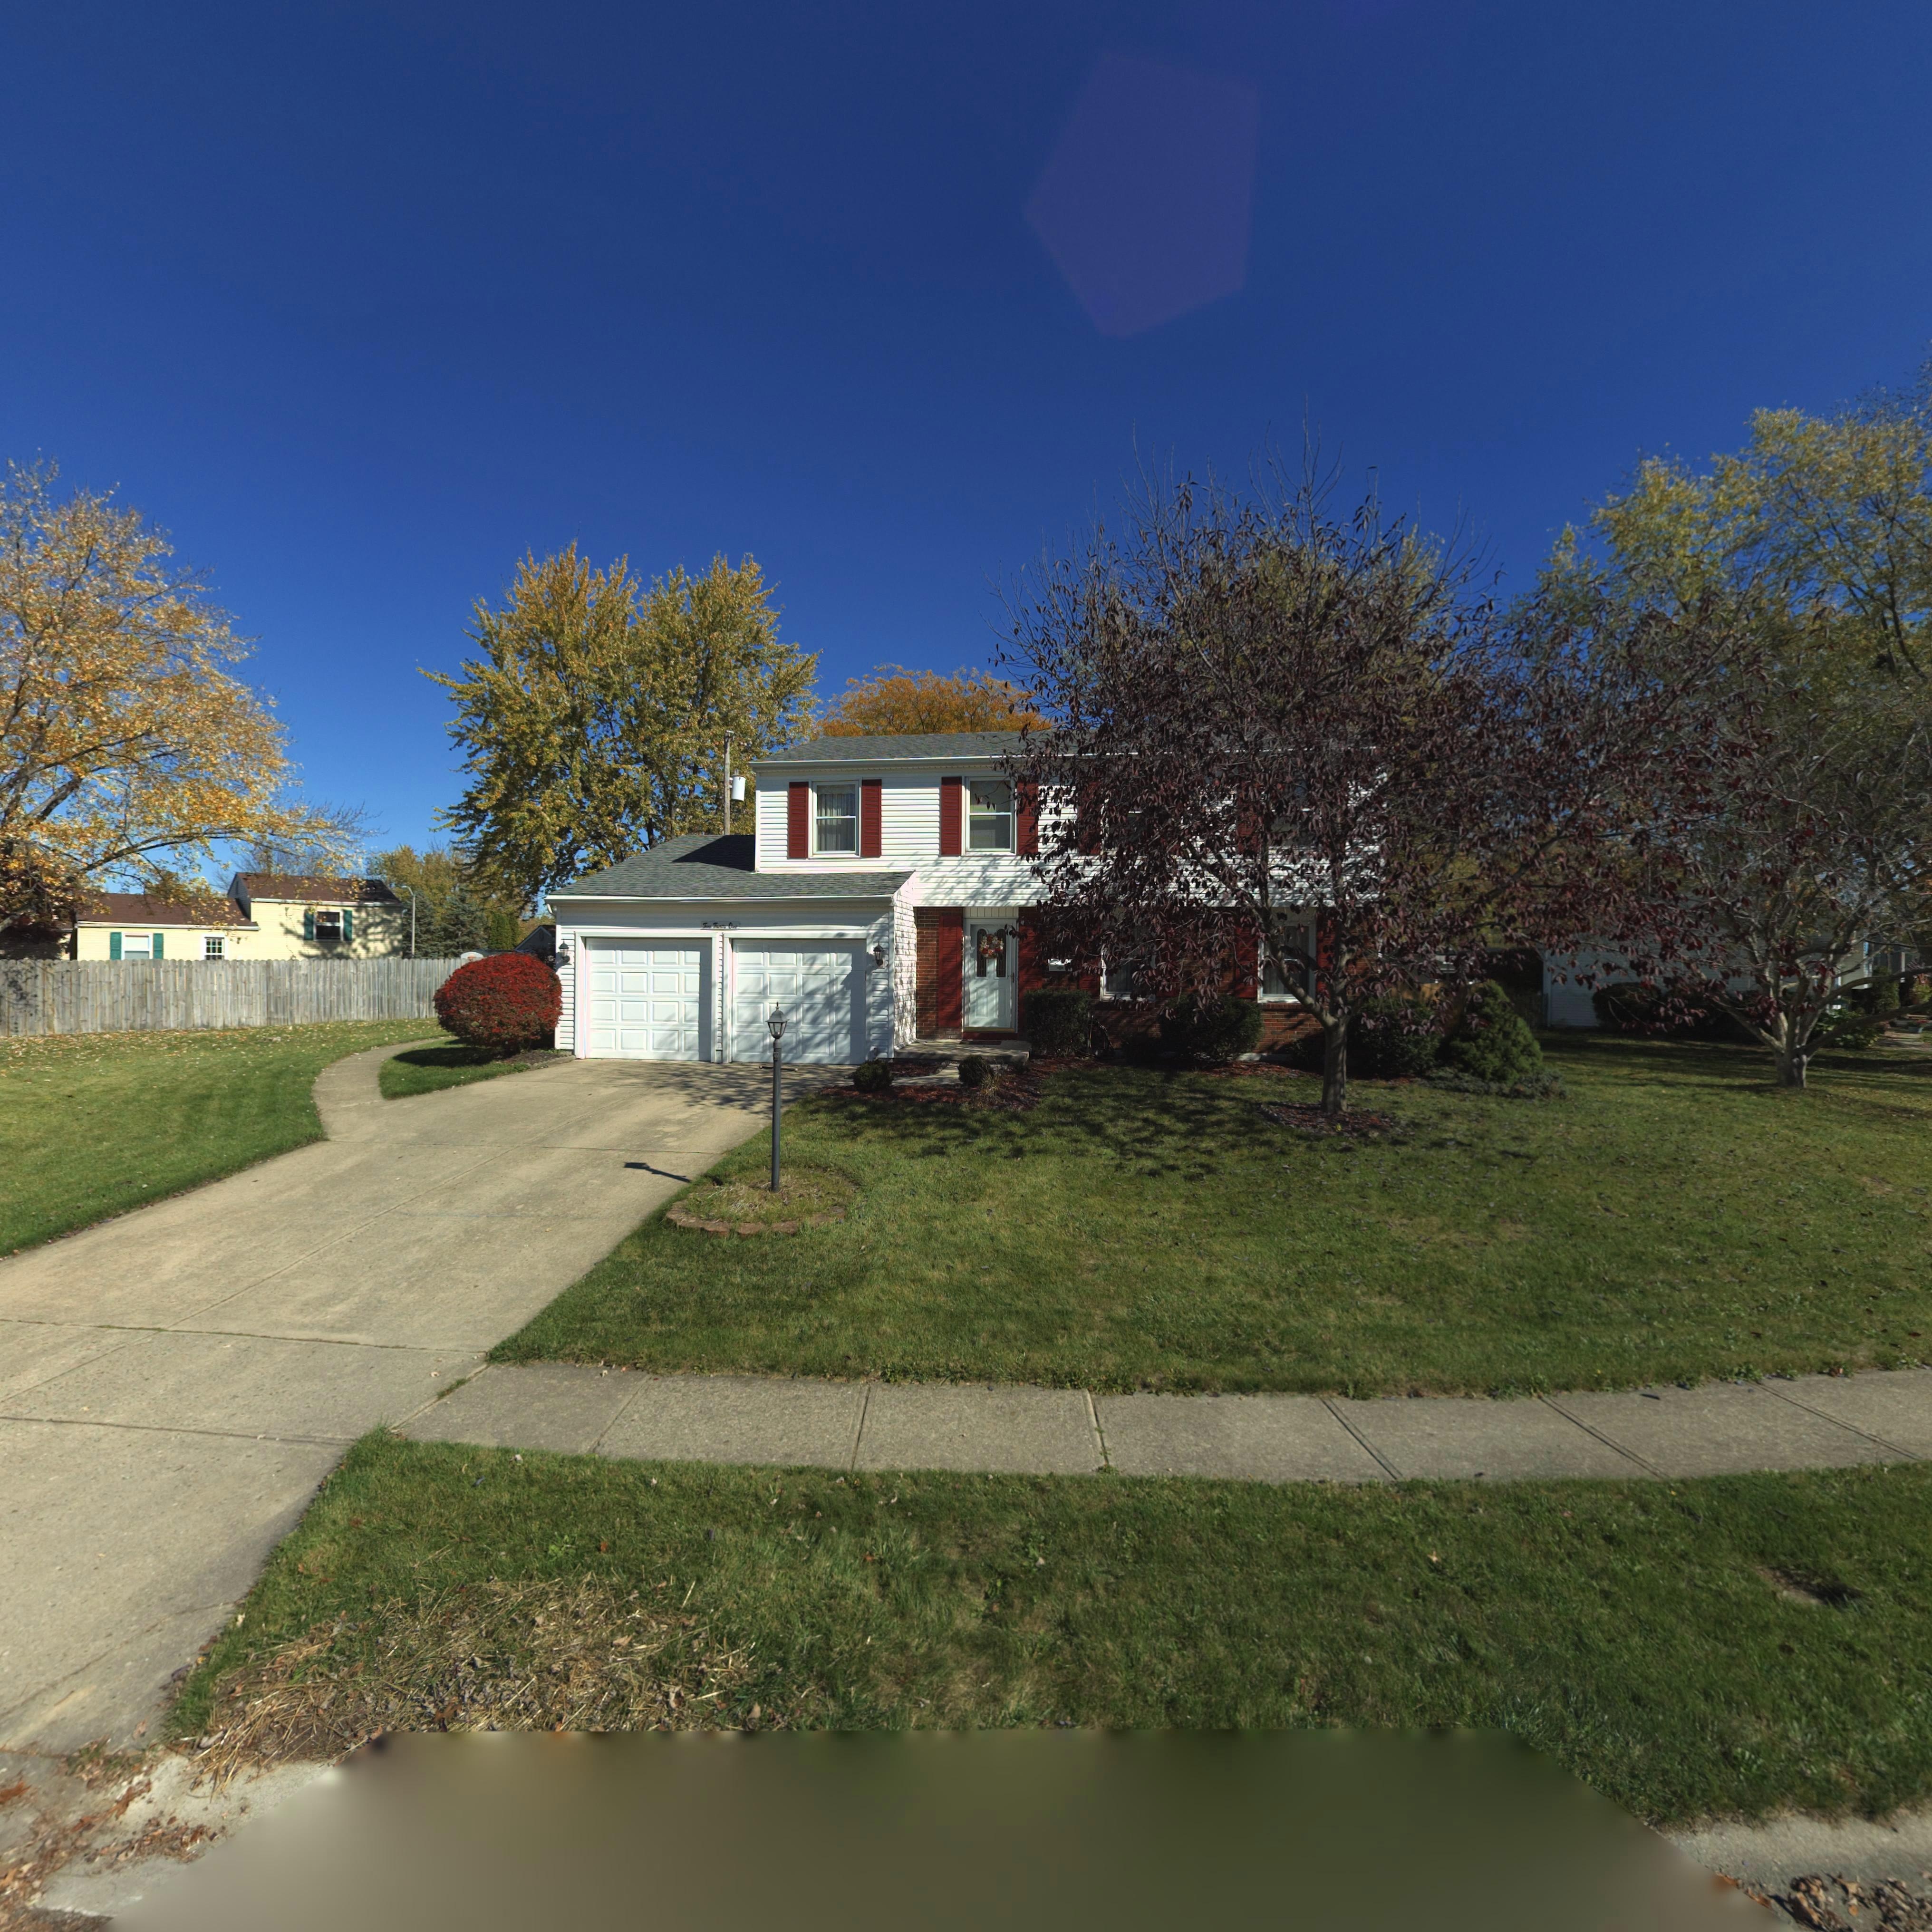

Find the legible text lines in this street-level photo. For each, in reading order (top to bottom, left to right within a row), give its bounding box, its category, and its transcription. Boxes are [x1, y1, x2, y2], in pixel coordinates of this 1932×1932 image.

[701, 921, 739, 929] StreetNumber: T** T***** One